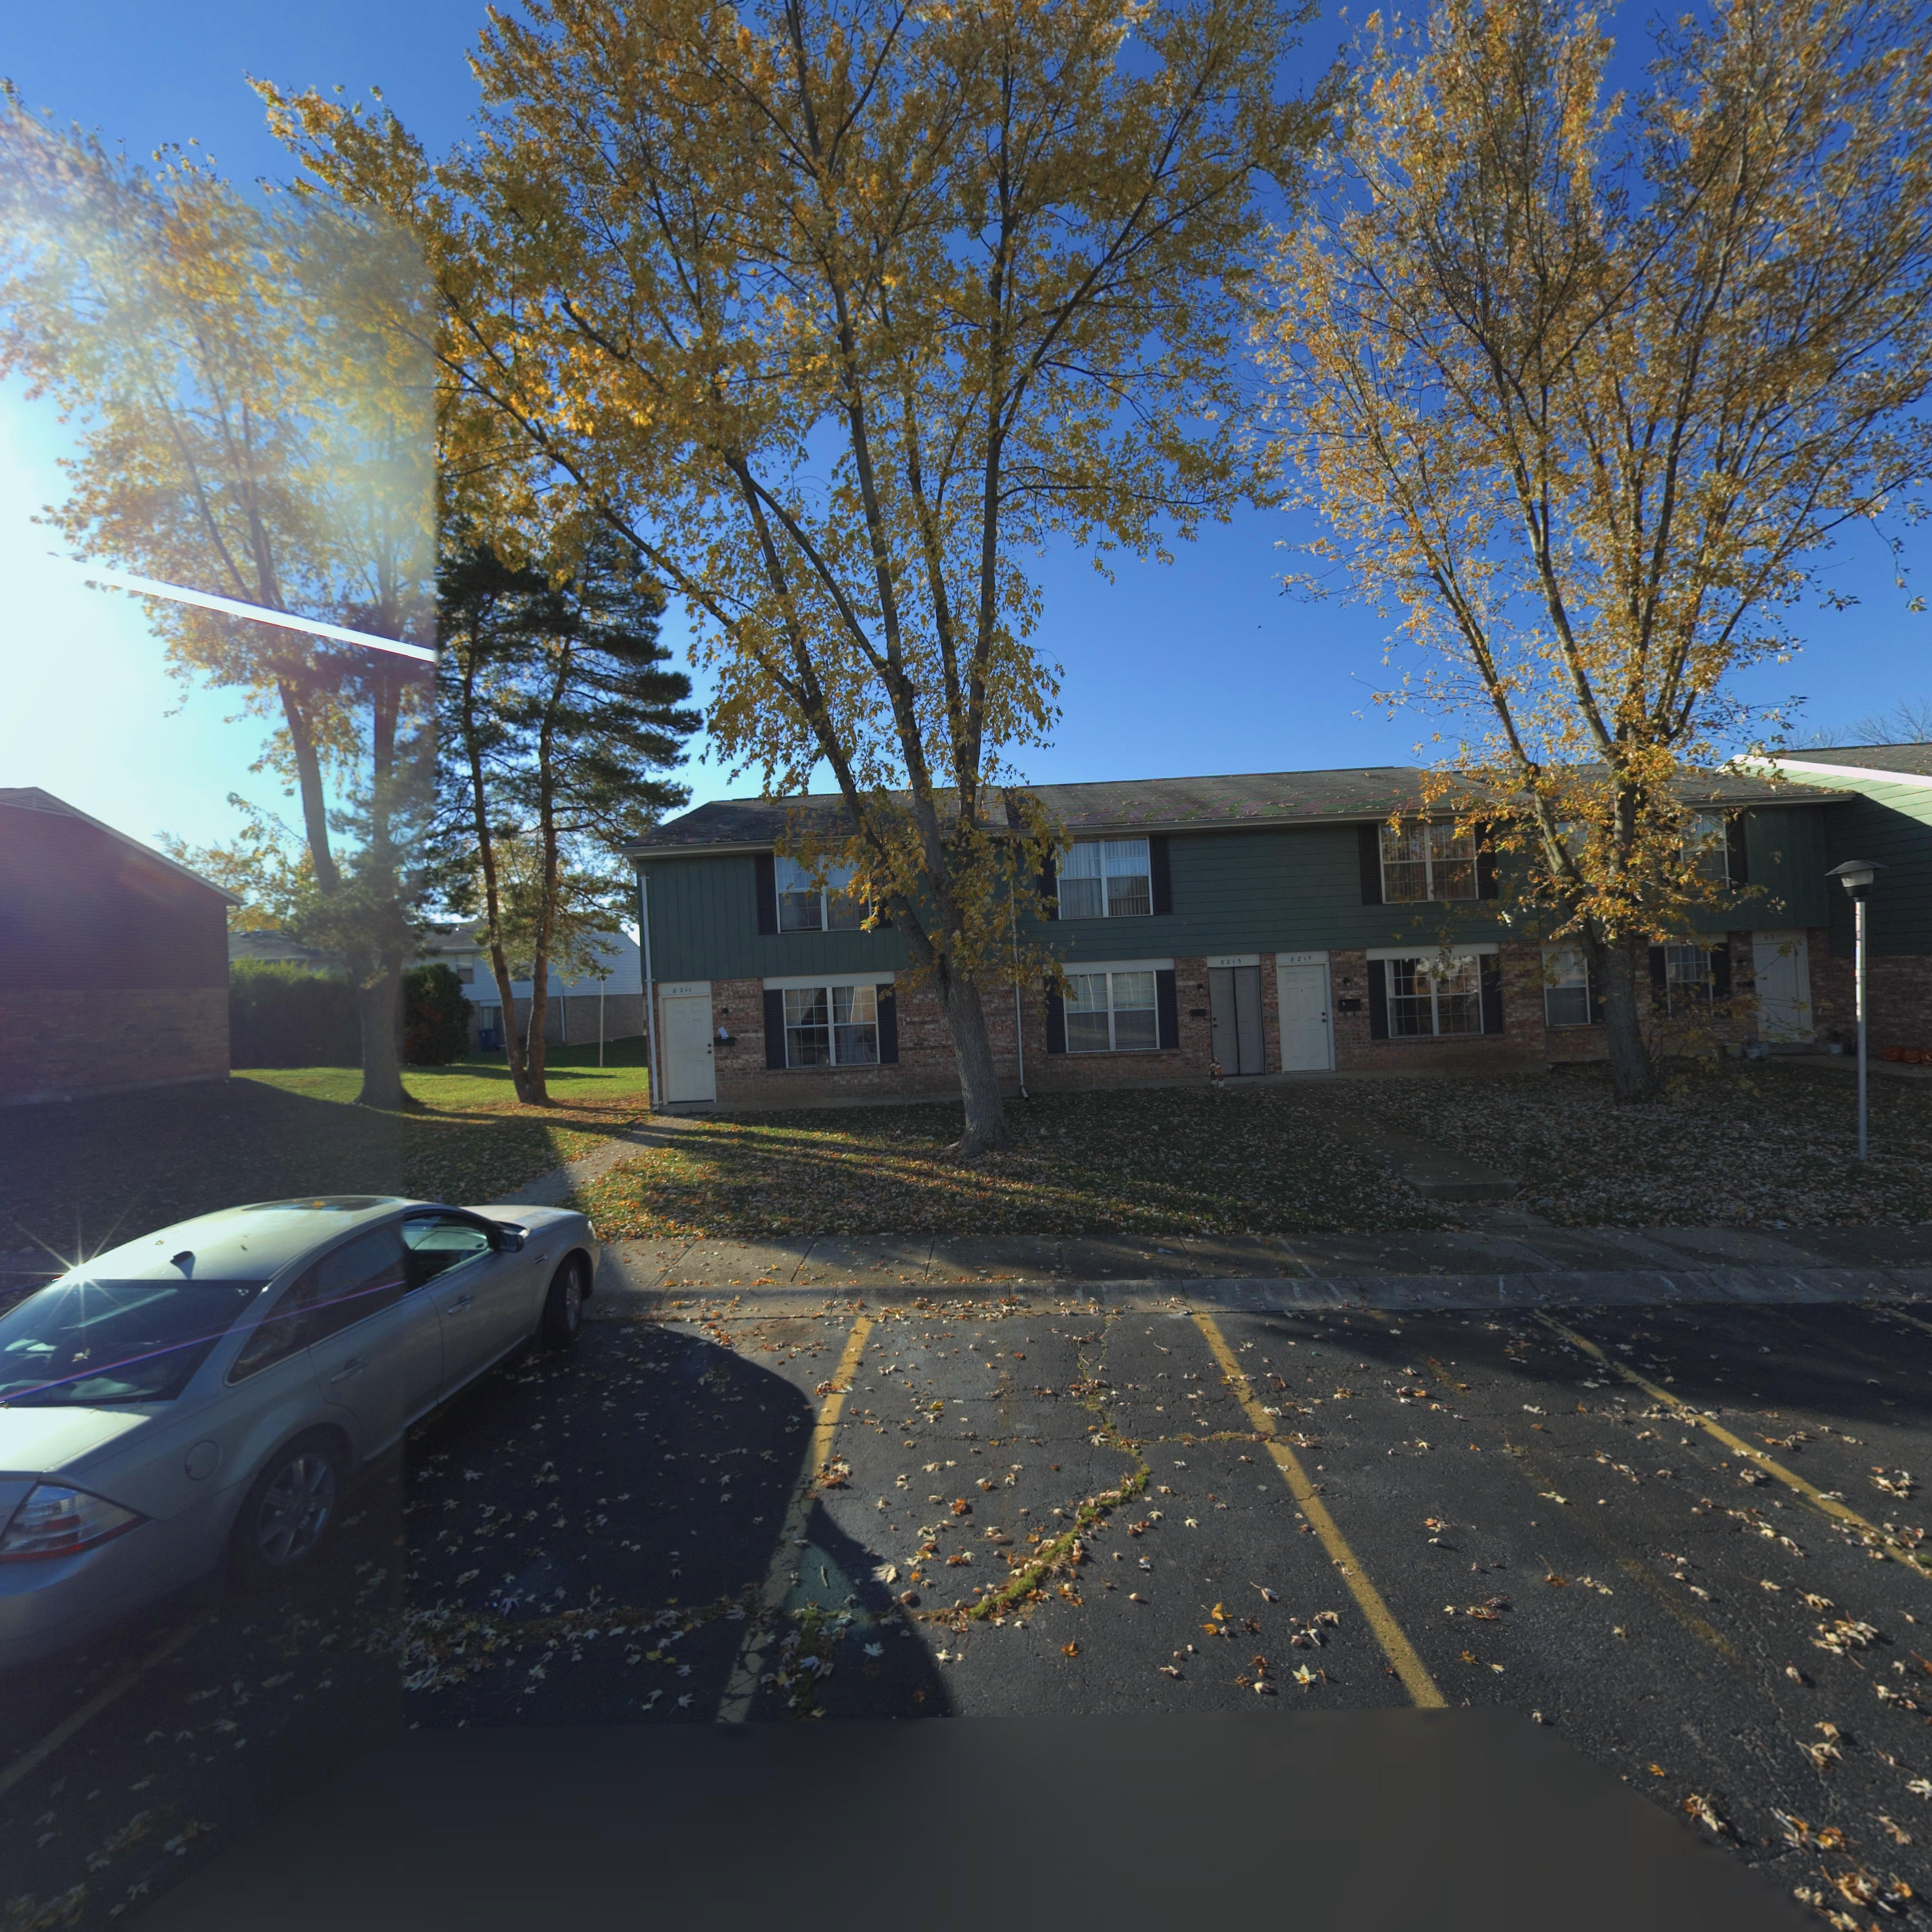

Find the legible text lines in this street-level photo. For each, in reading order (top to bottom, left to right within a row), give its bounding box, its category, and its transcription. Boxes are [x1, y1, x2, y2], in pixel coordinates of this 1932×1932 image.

[1764, 933, 1785, 941] StreetNumber: 8217
[1220, 958, 1241, 965] StreetNumber: 8213
[1290, 955, 1312, 963] StreetNumber: 8215
[672, 986, 691, 994] StreetNumber: 8211